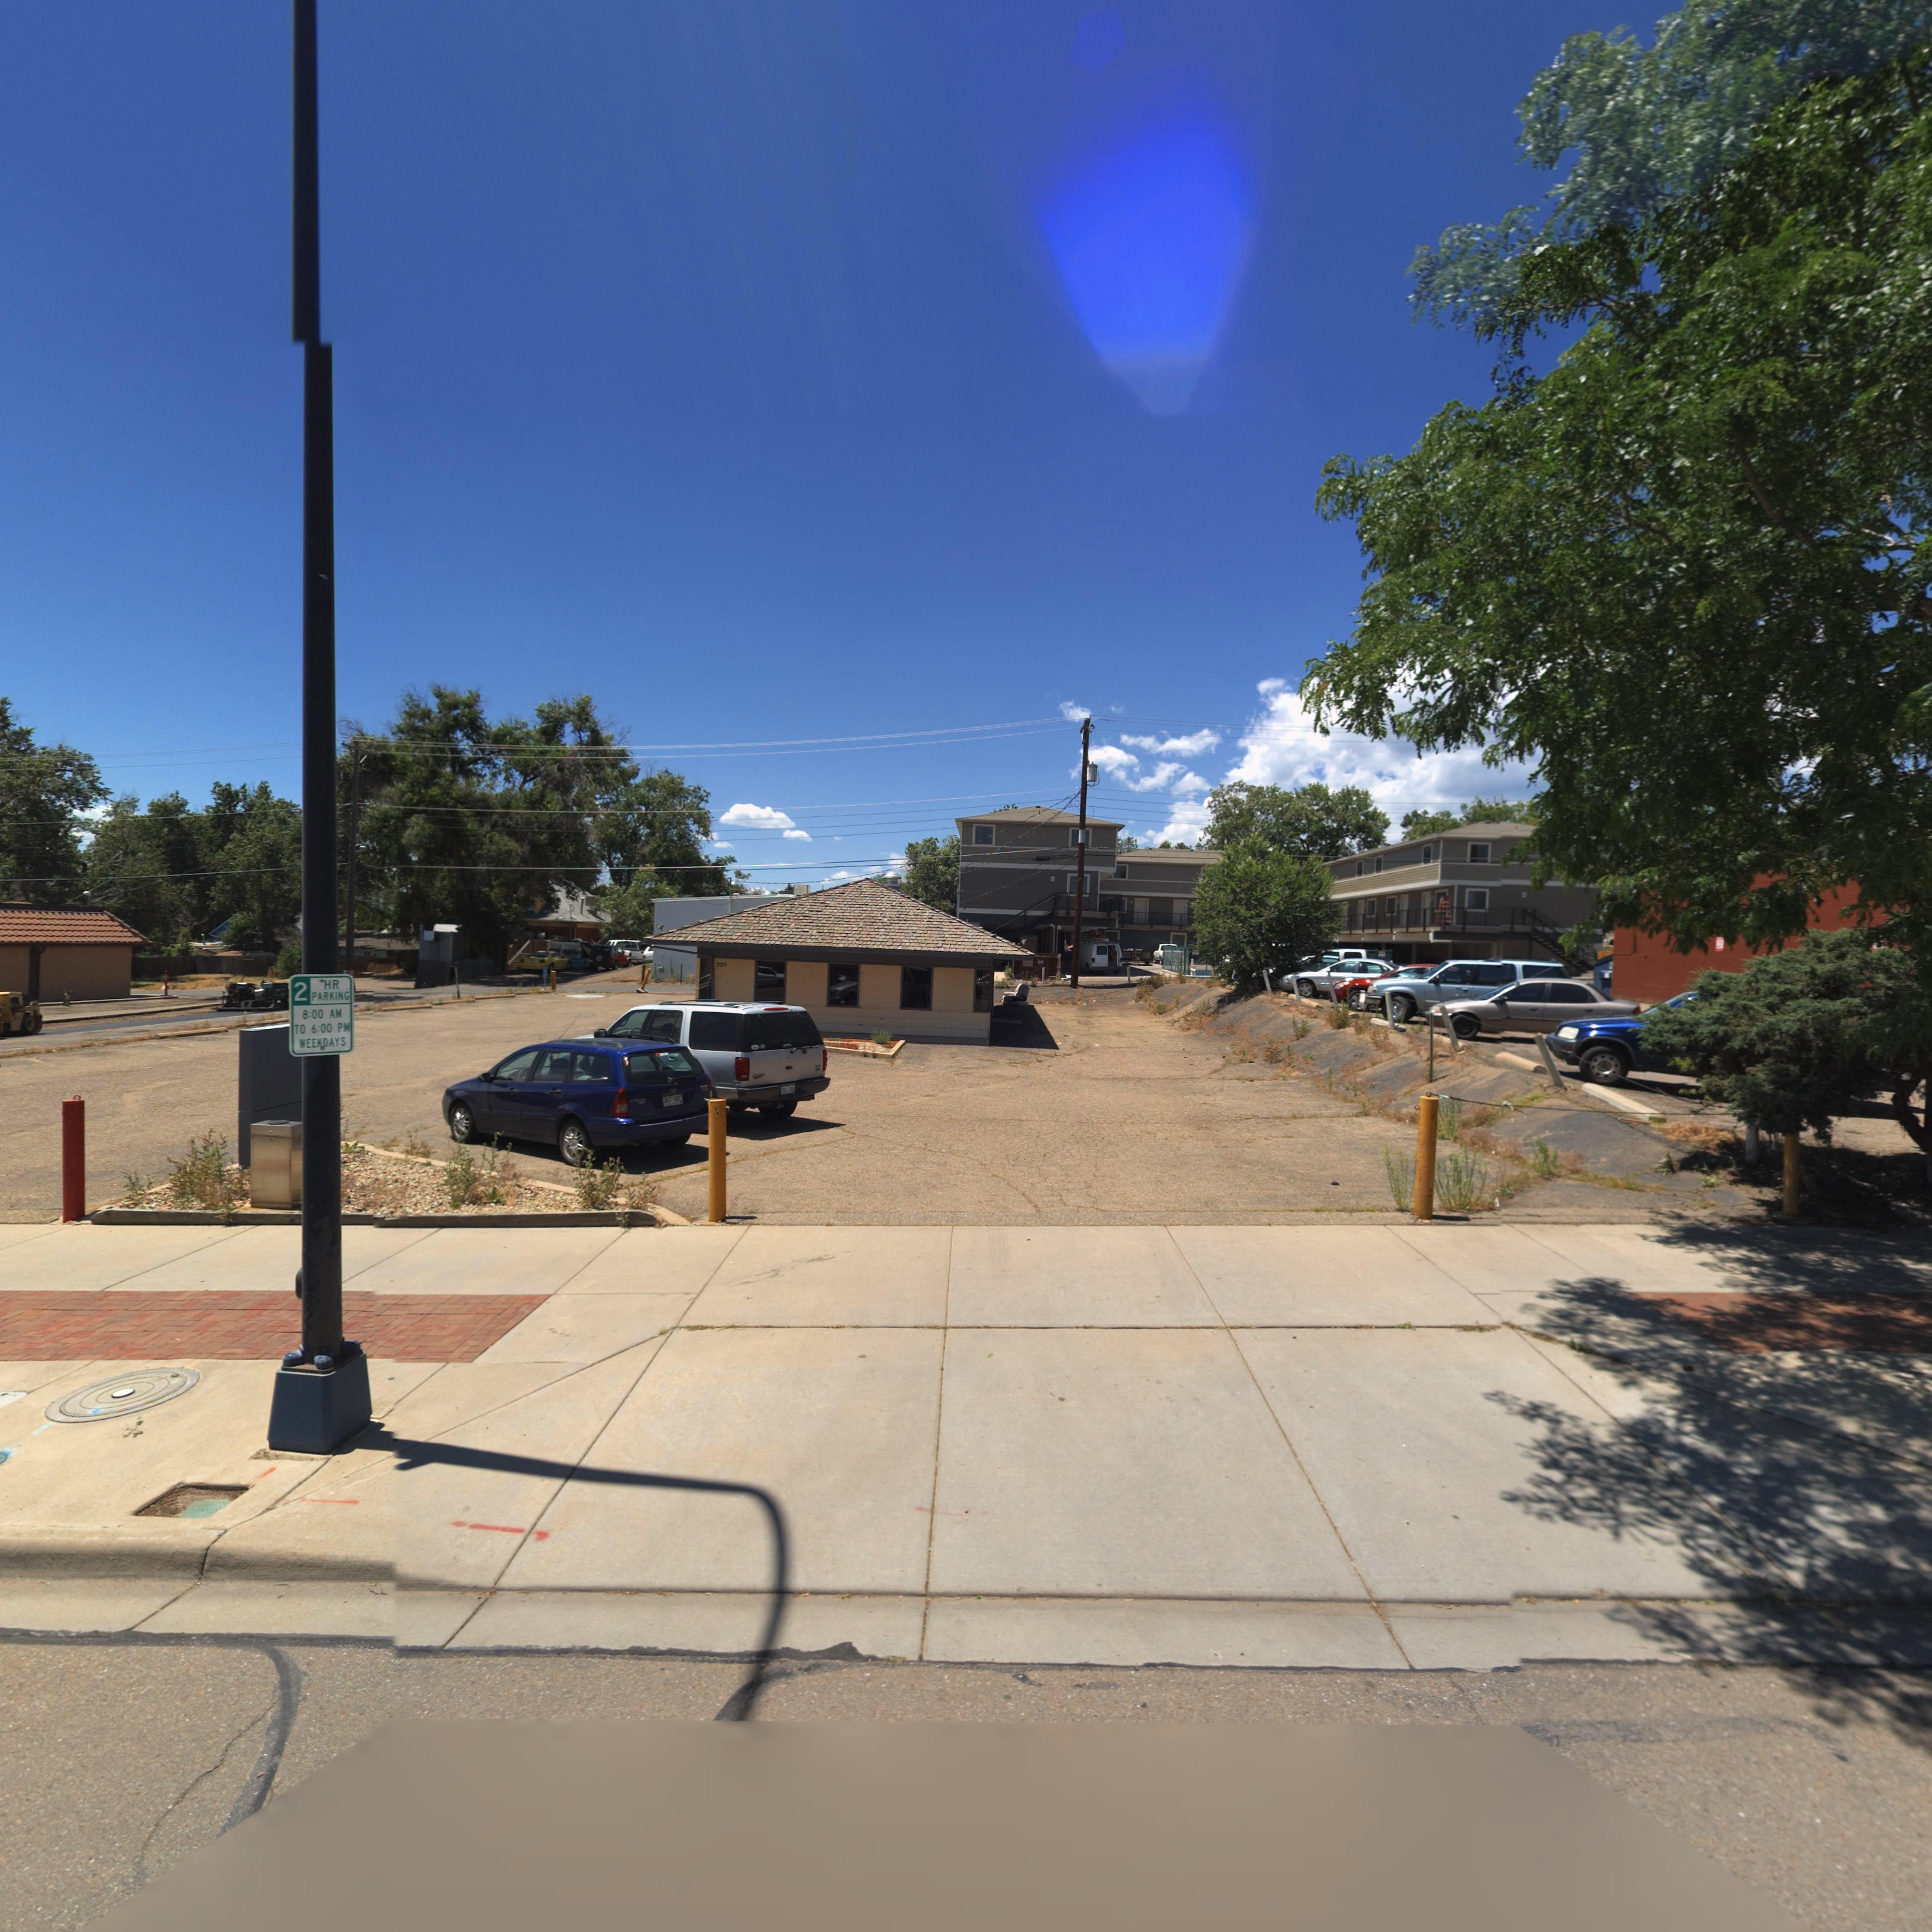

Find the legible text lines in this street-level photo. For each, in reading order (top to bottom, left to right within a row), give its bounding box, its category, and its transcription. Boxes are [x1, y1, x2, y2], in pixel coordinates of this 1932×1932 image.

[715, 961, 727, 967] StreetNumber: 225